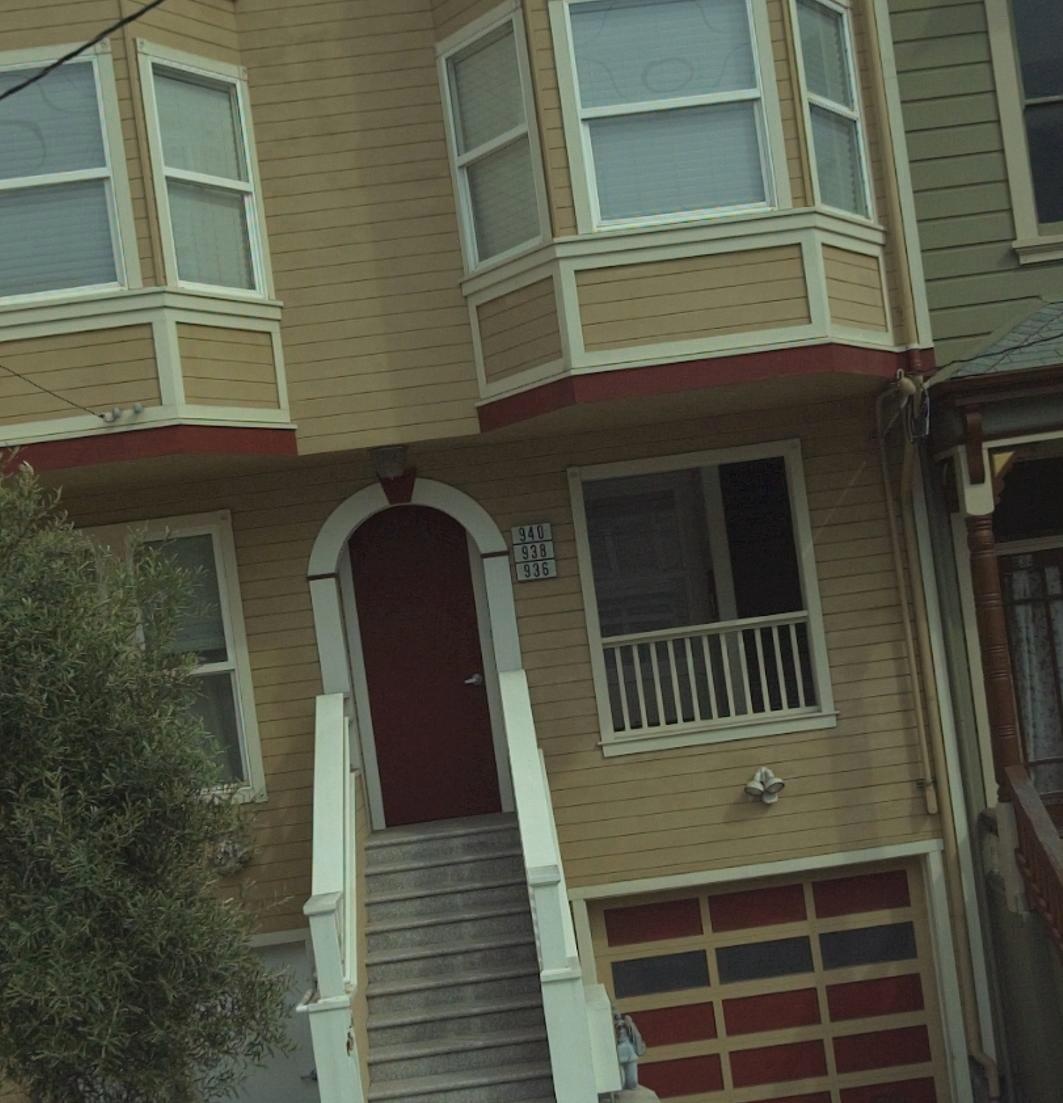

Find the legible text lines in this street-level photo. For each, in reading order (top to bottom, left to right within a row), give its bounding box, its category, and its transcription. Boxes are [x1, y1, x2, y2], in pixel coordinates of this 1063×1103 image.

[516, 524, 546, 543] StreetNumber: 940
[520, 541, 548, 561] StreetNumber: 938
[522, 560, 551, 579] StreetNumber: 936